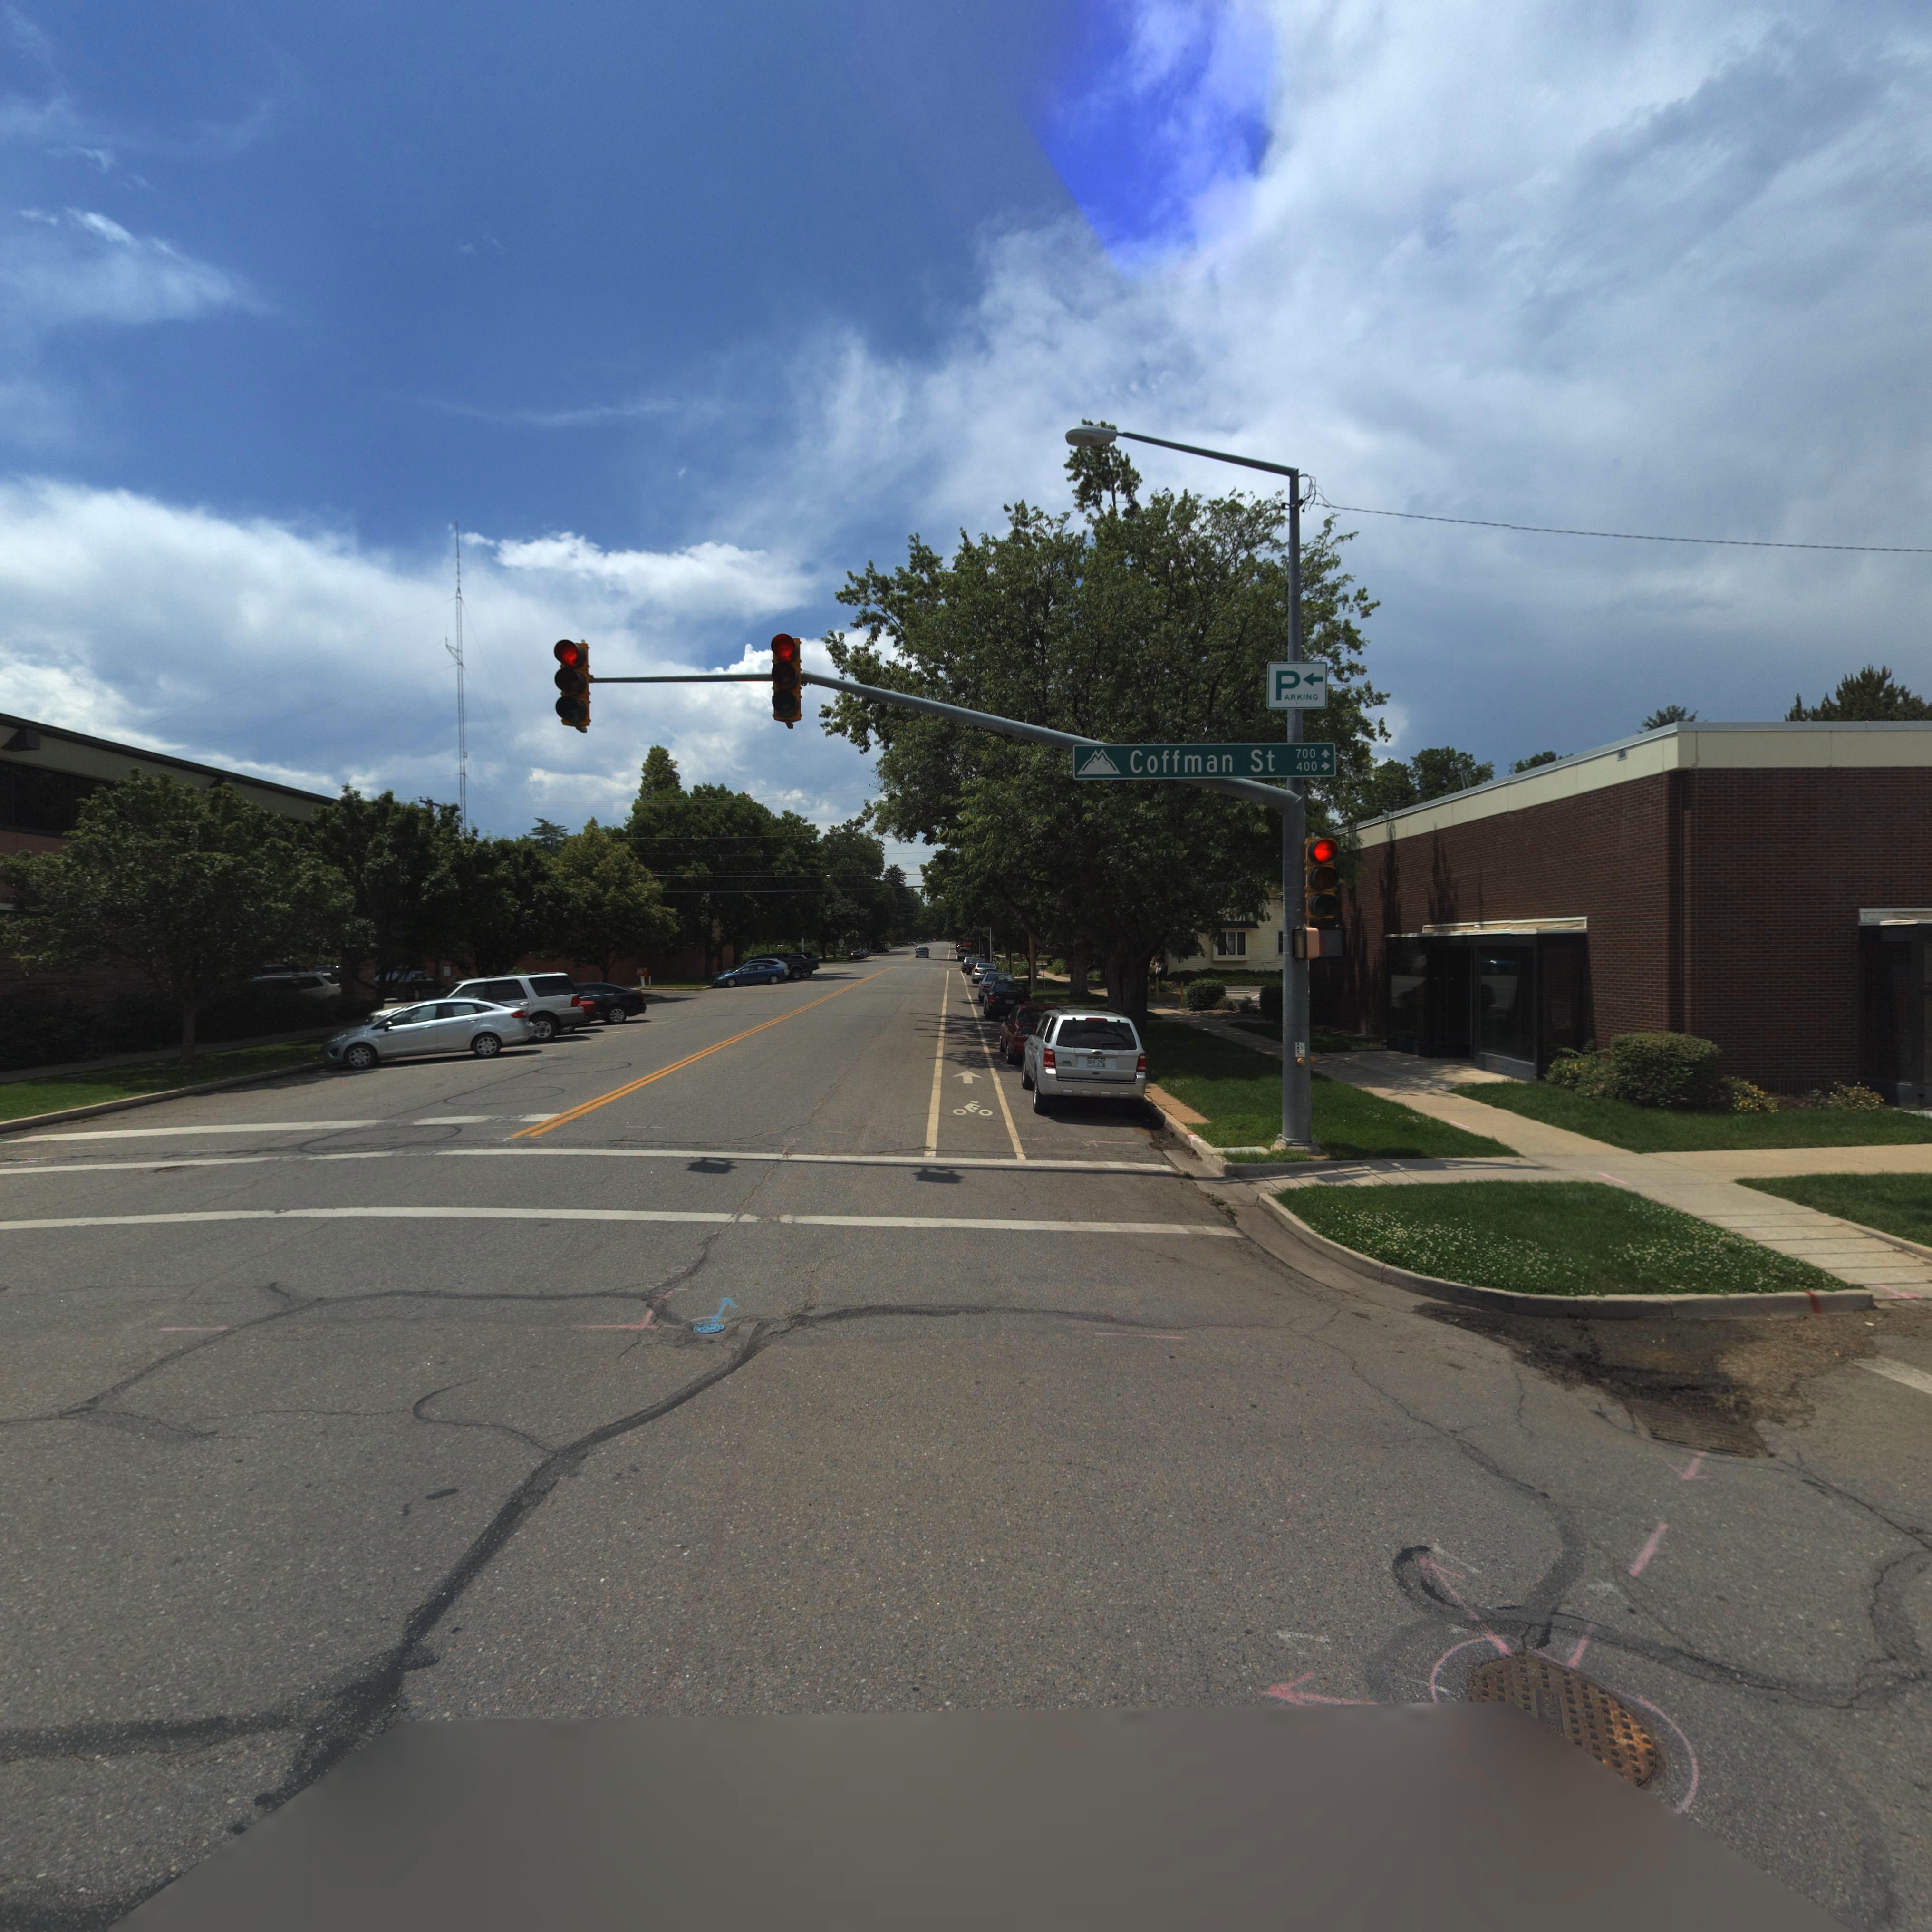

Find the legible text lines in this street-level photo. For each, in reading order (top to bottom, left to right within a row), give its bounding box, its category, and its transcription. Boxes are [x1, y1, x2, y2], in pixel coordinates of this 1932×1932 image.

[1295, 749, 1315, 758] StreetNumberRange: 700
[1130, 749, 1275, 773] StreetName: Coffman St
[1295, 761, 1332, 771] StreetNumberRange: 400->